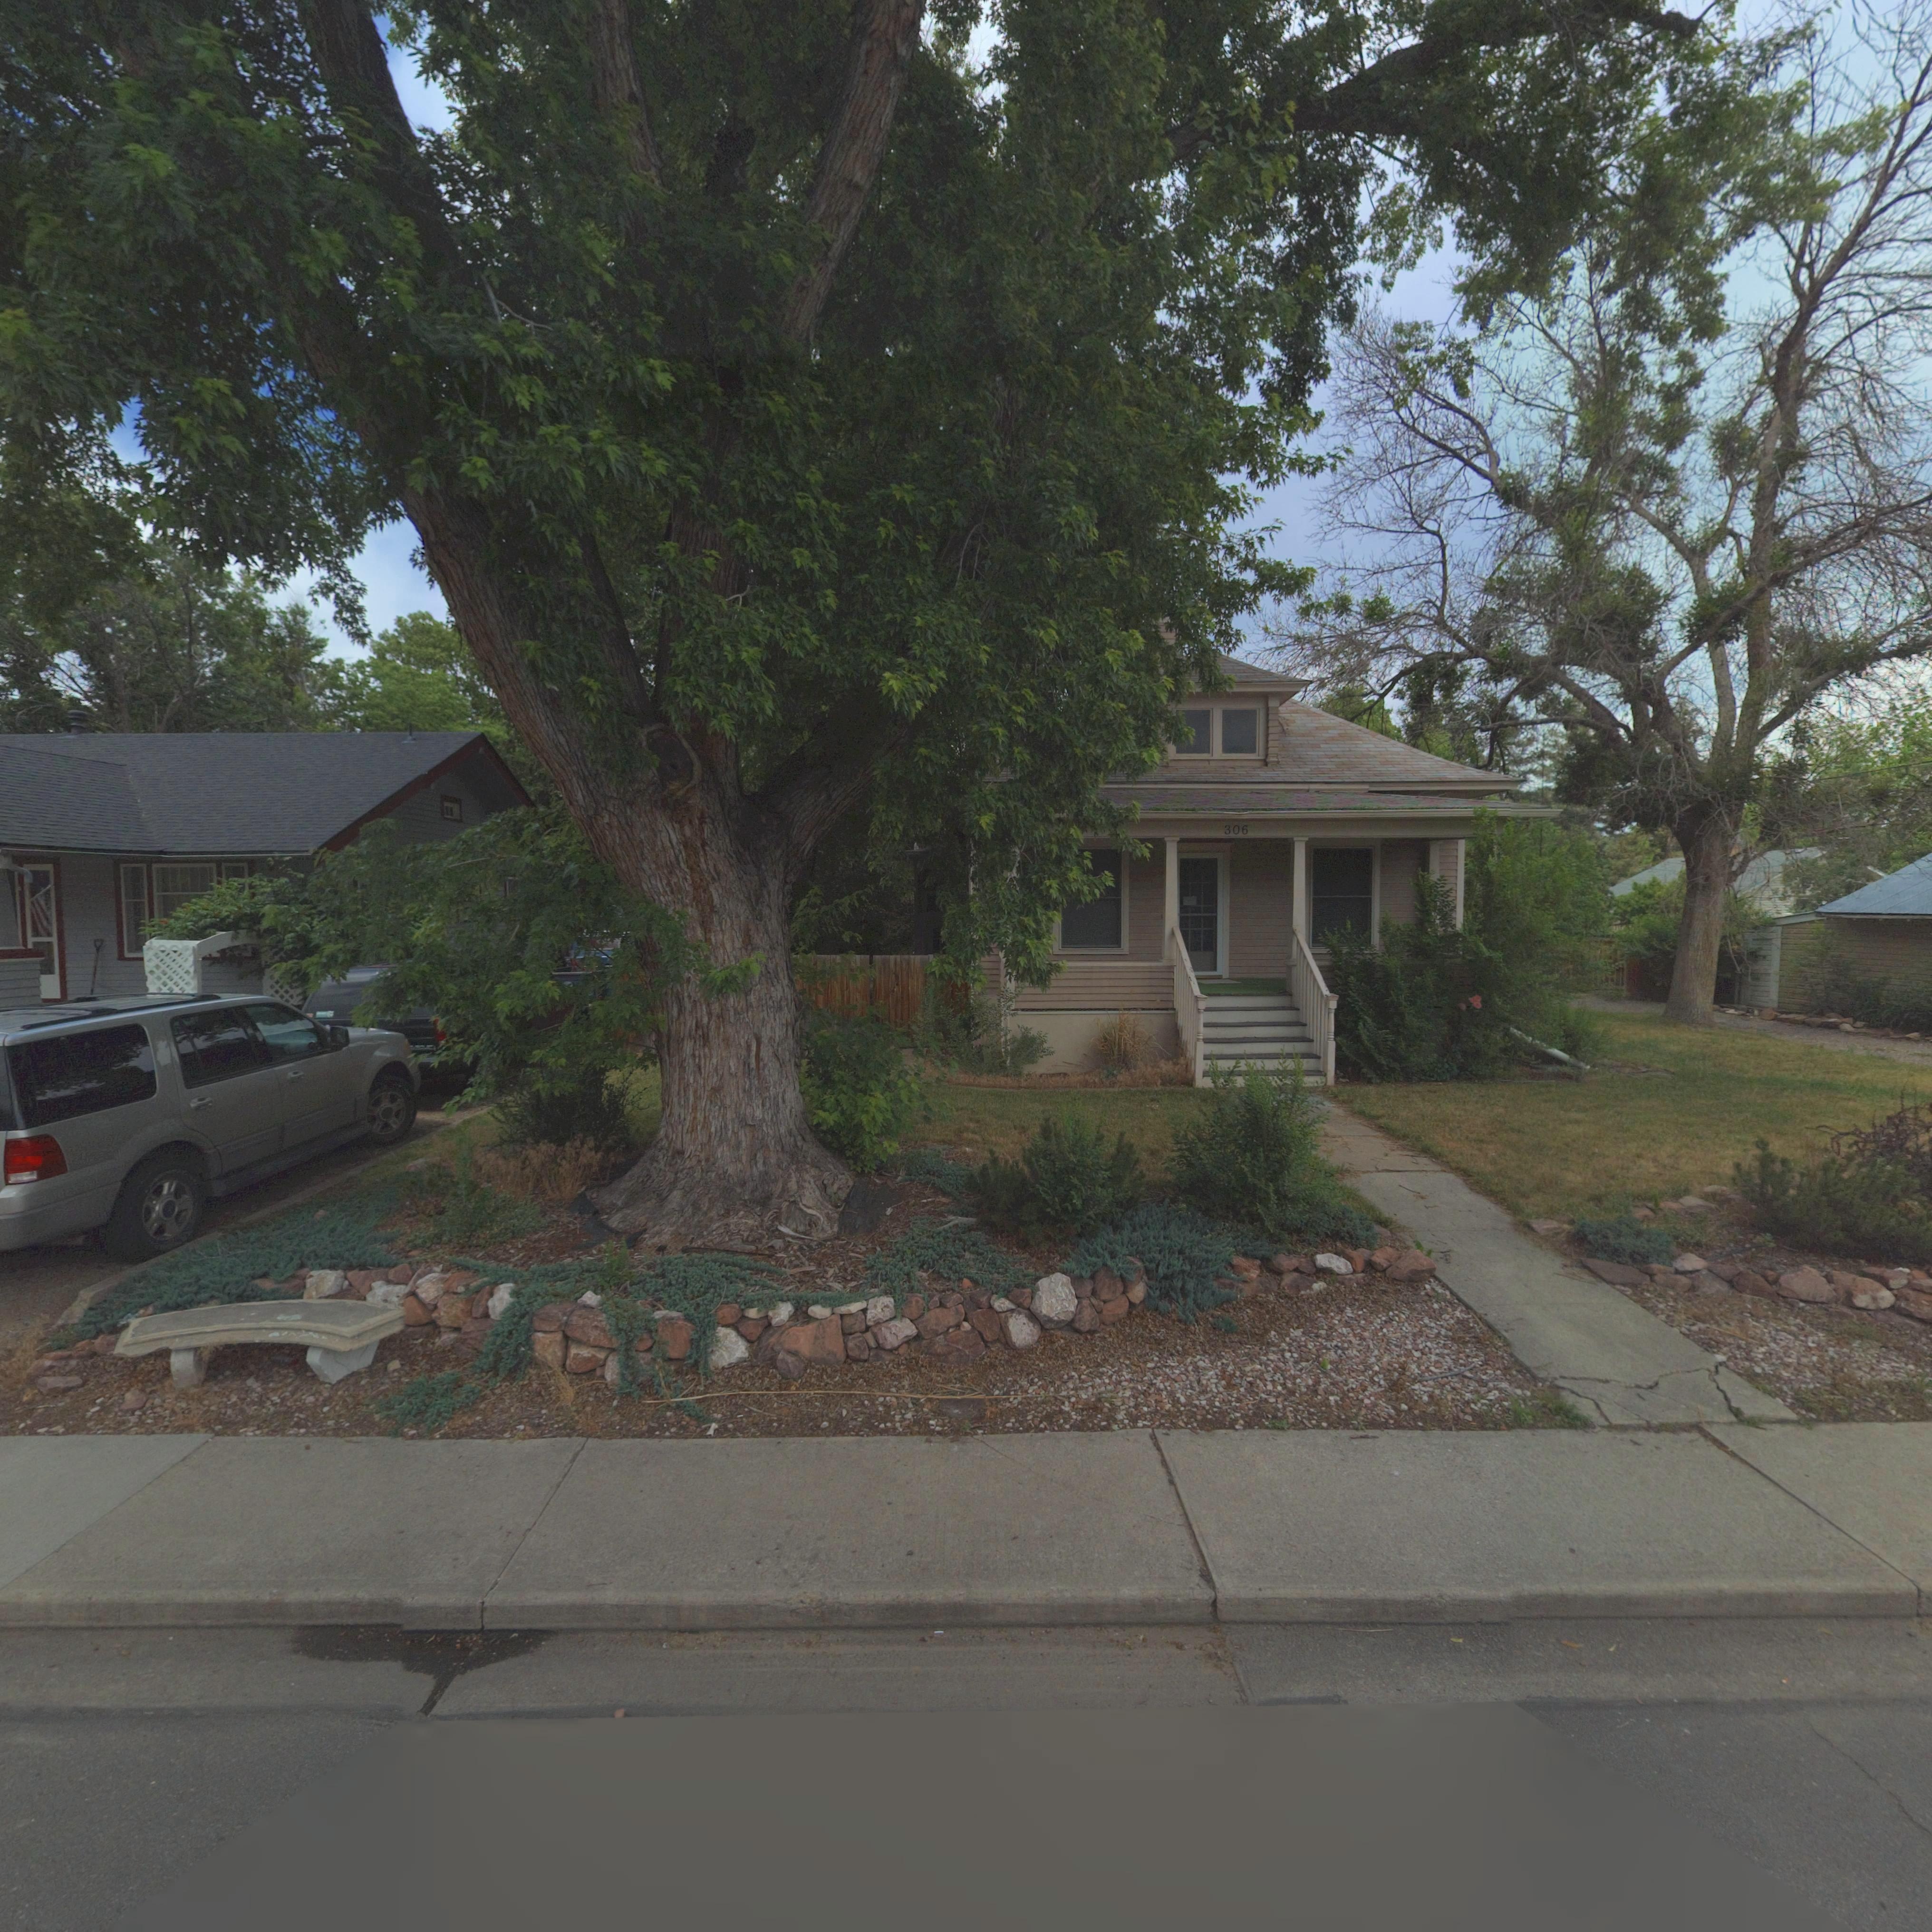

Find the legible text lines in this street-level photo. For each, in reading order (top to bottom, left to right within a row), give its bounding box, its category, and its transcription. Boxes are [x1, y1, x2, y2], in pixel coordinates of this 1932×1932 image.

[1225, 824, 1248, 834] StreetNumber: 306